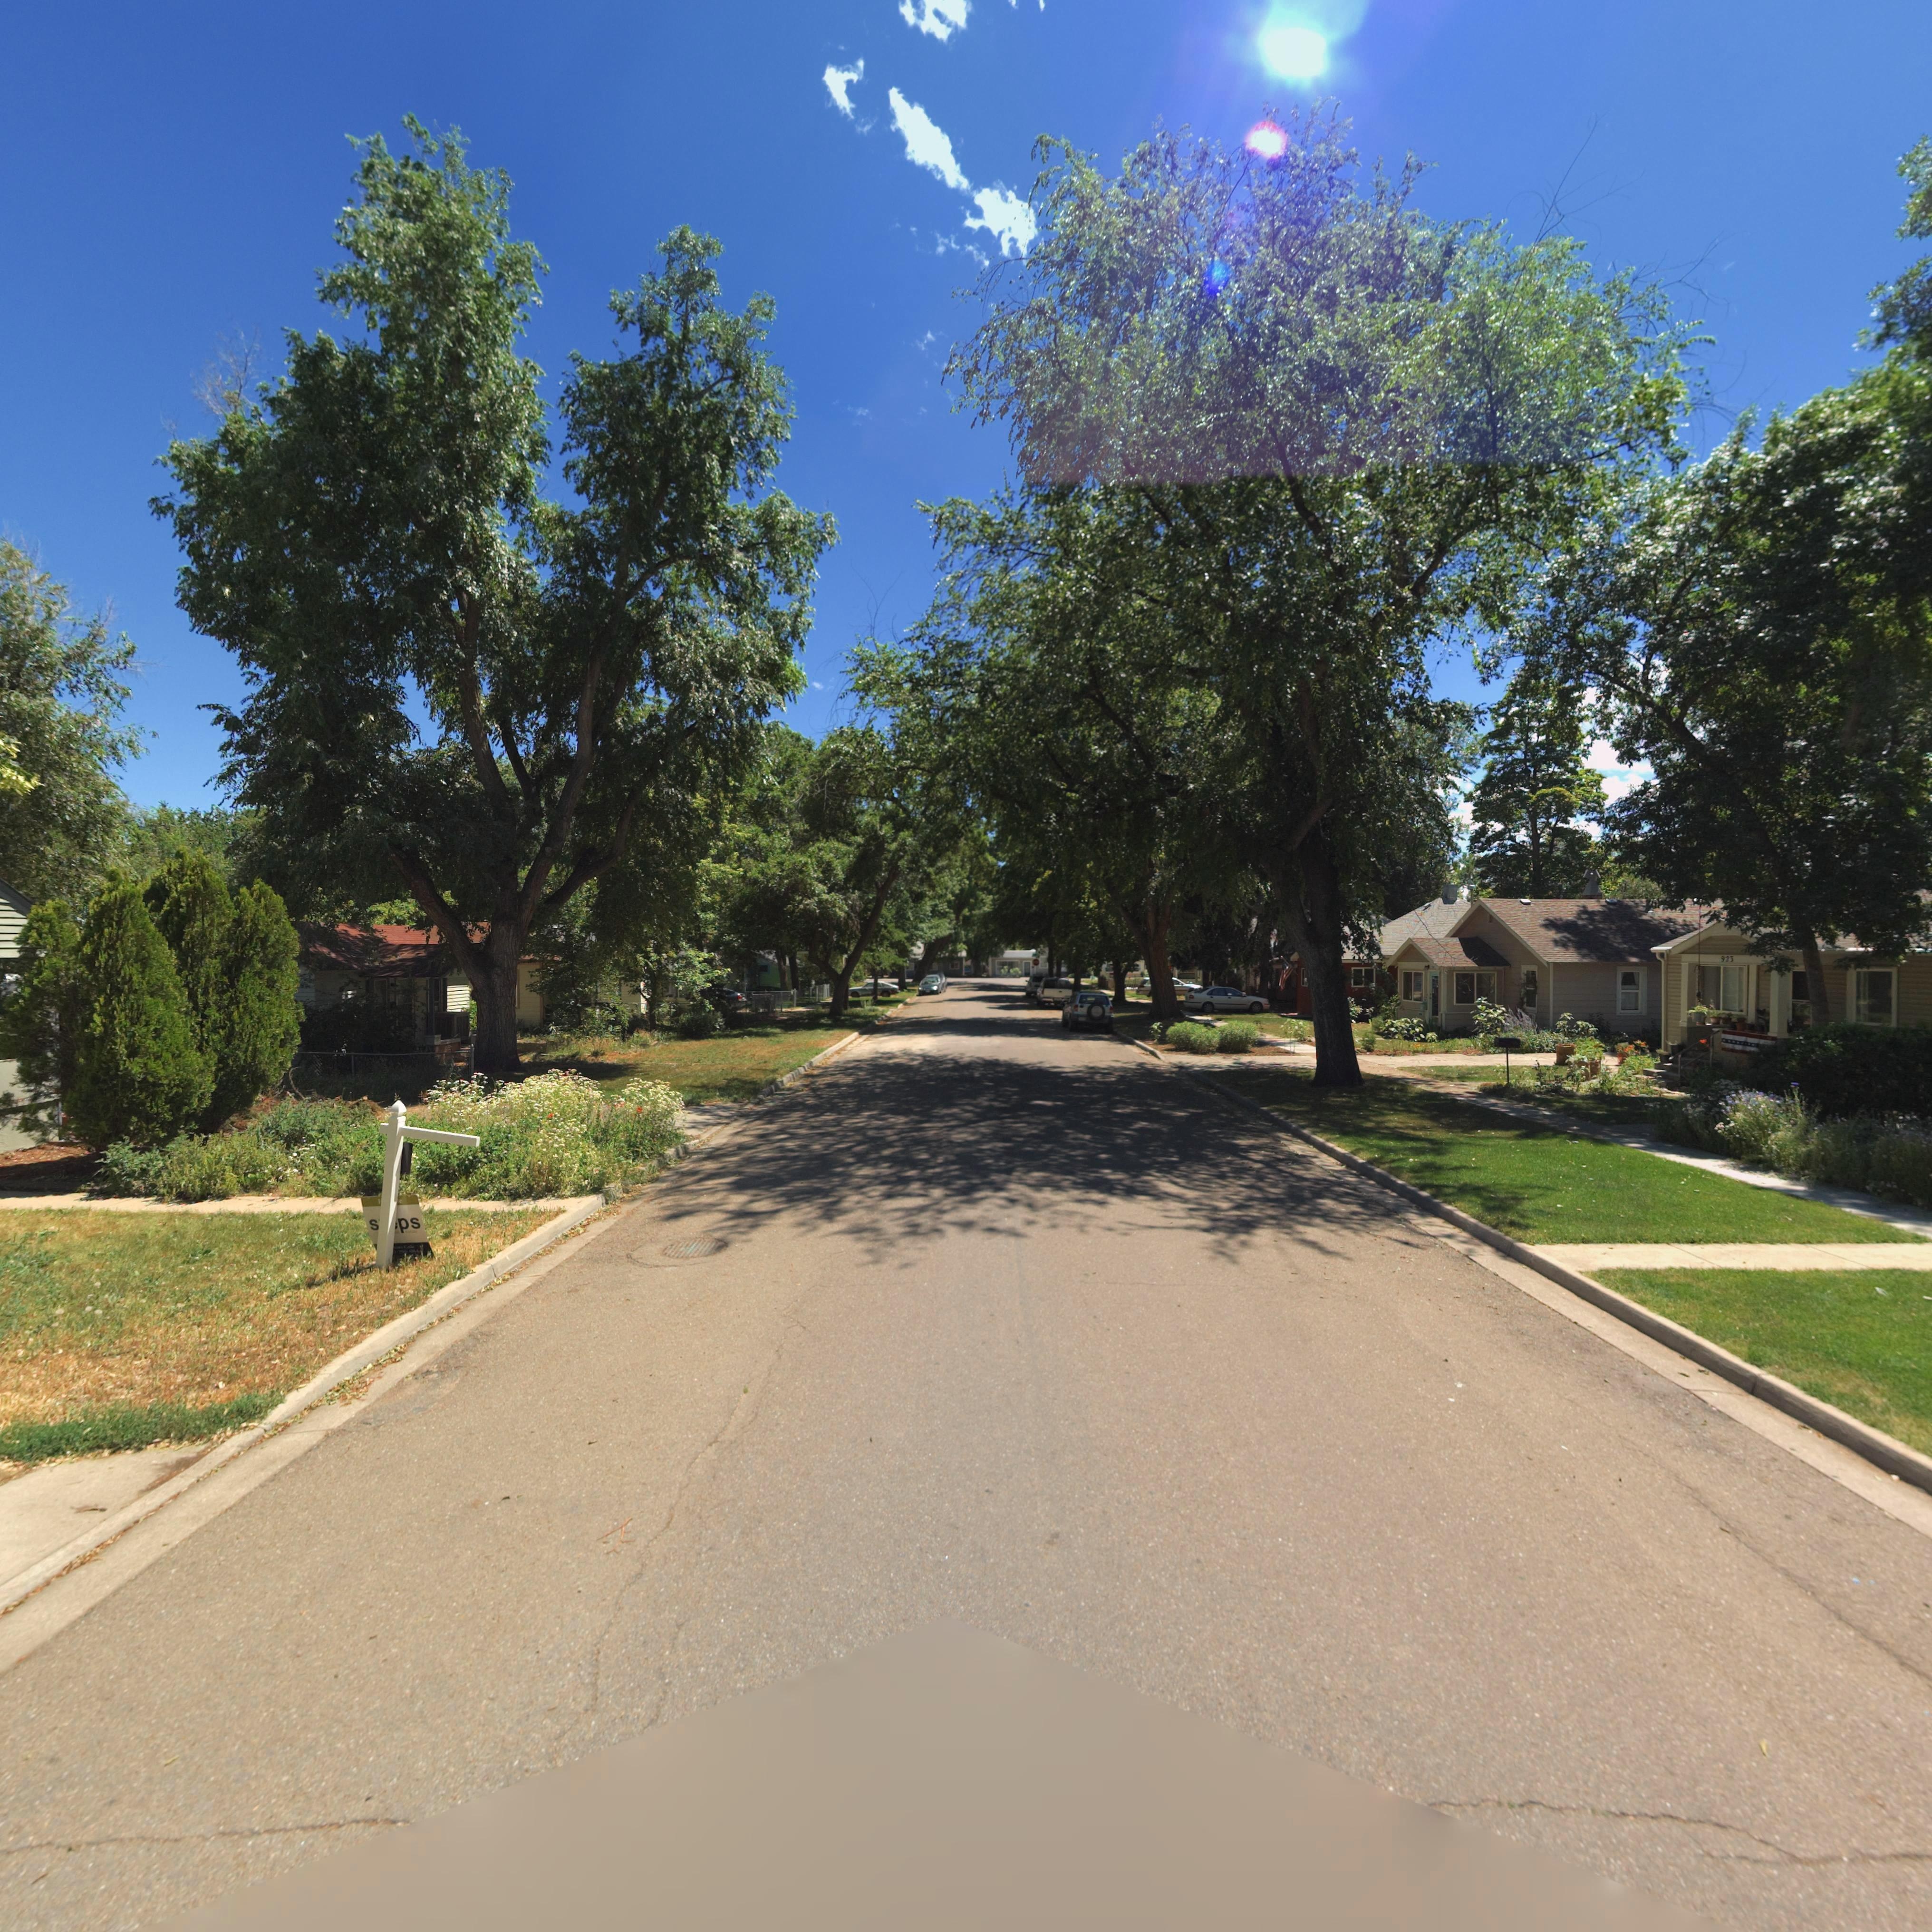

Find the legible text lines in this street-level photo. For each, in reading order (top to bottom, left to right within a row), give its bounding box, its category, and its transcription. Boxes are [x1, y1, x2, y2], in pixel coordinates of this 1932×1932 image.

[1719, 955, 1734, 963] StreetNumber: 923